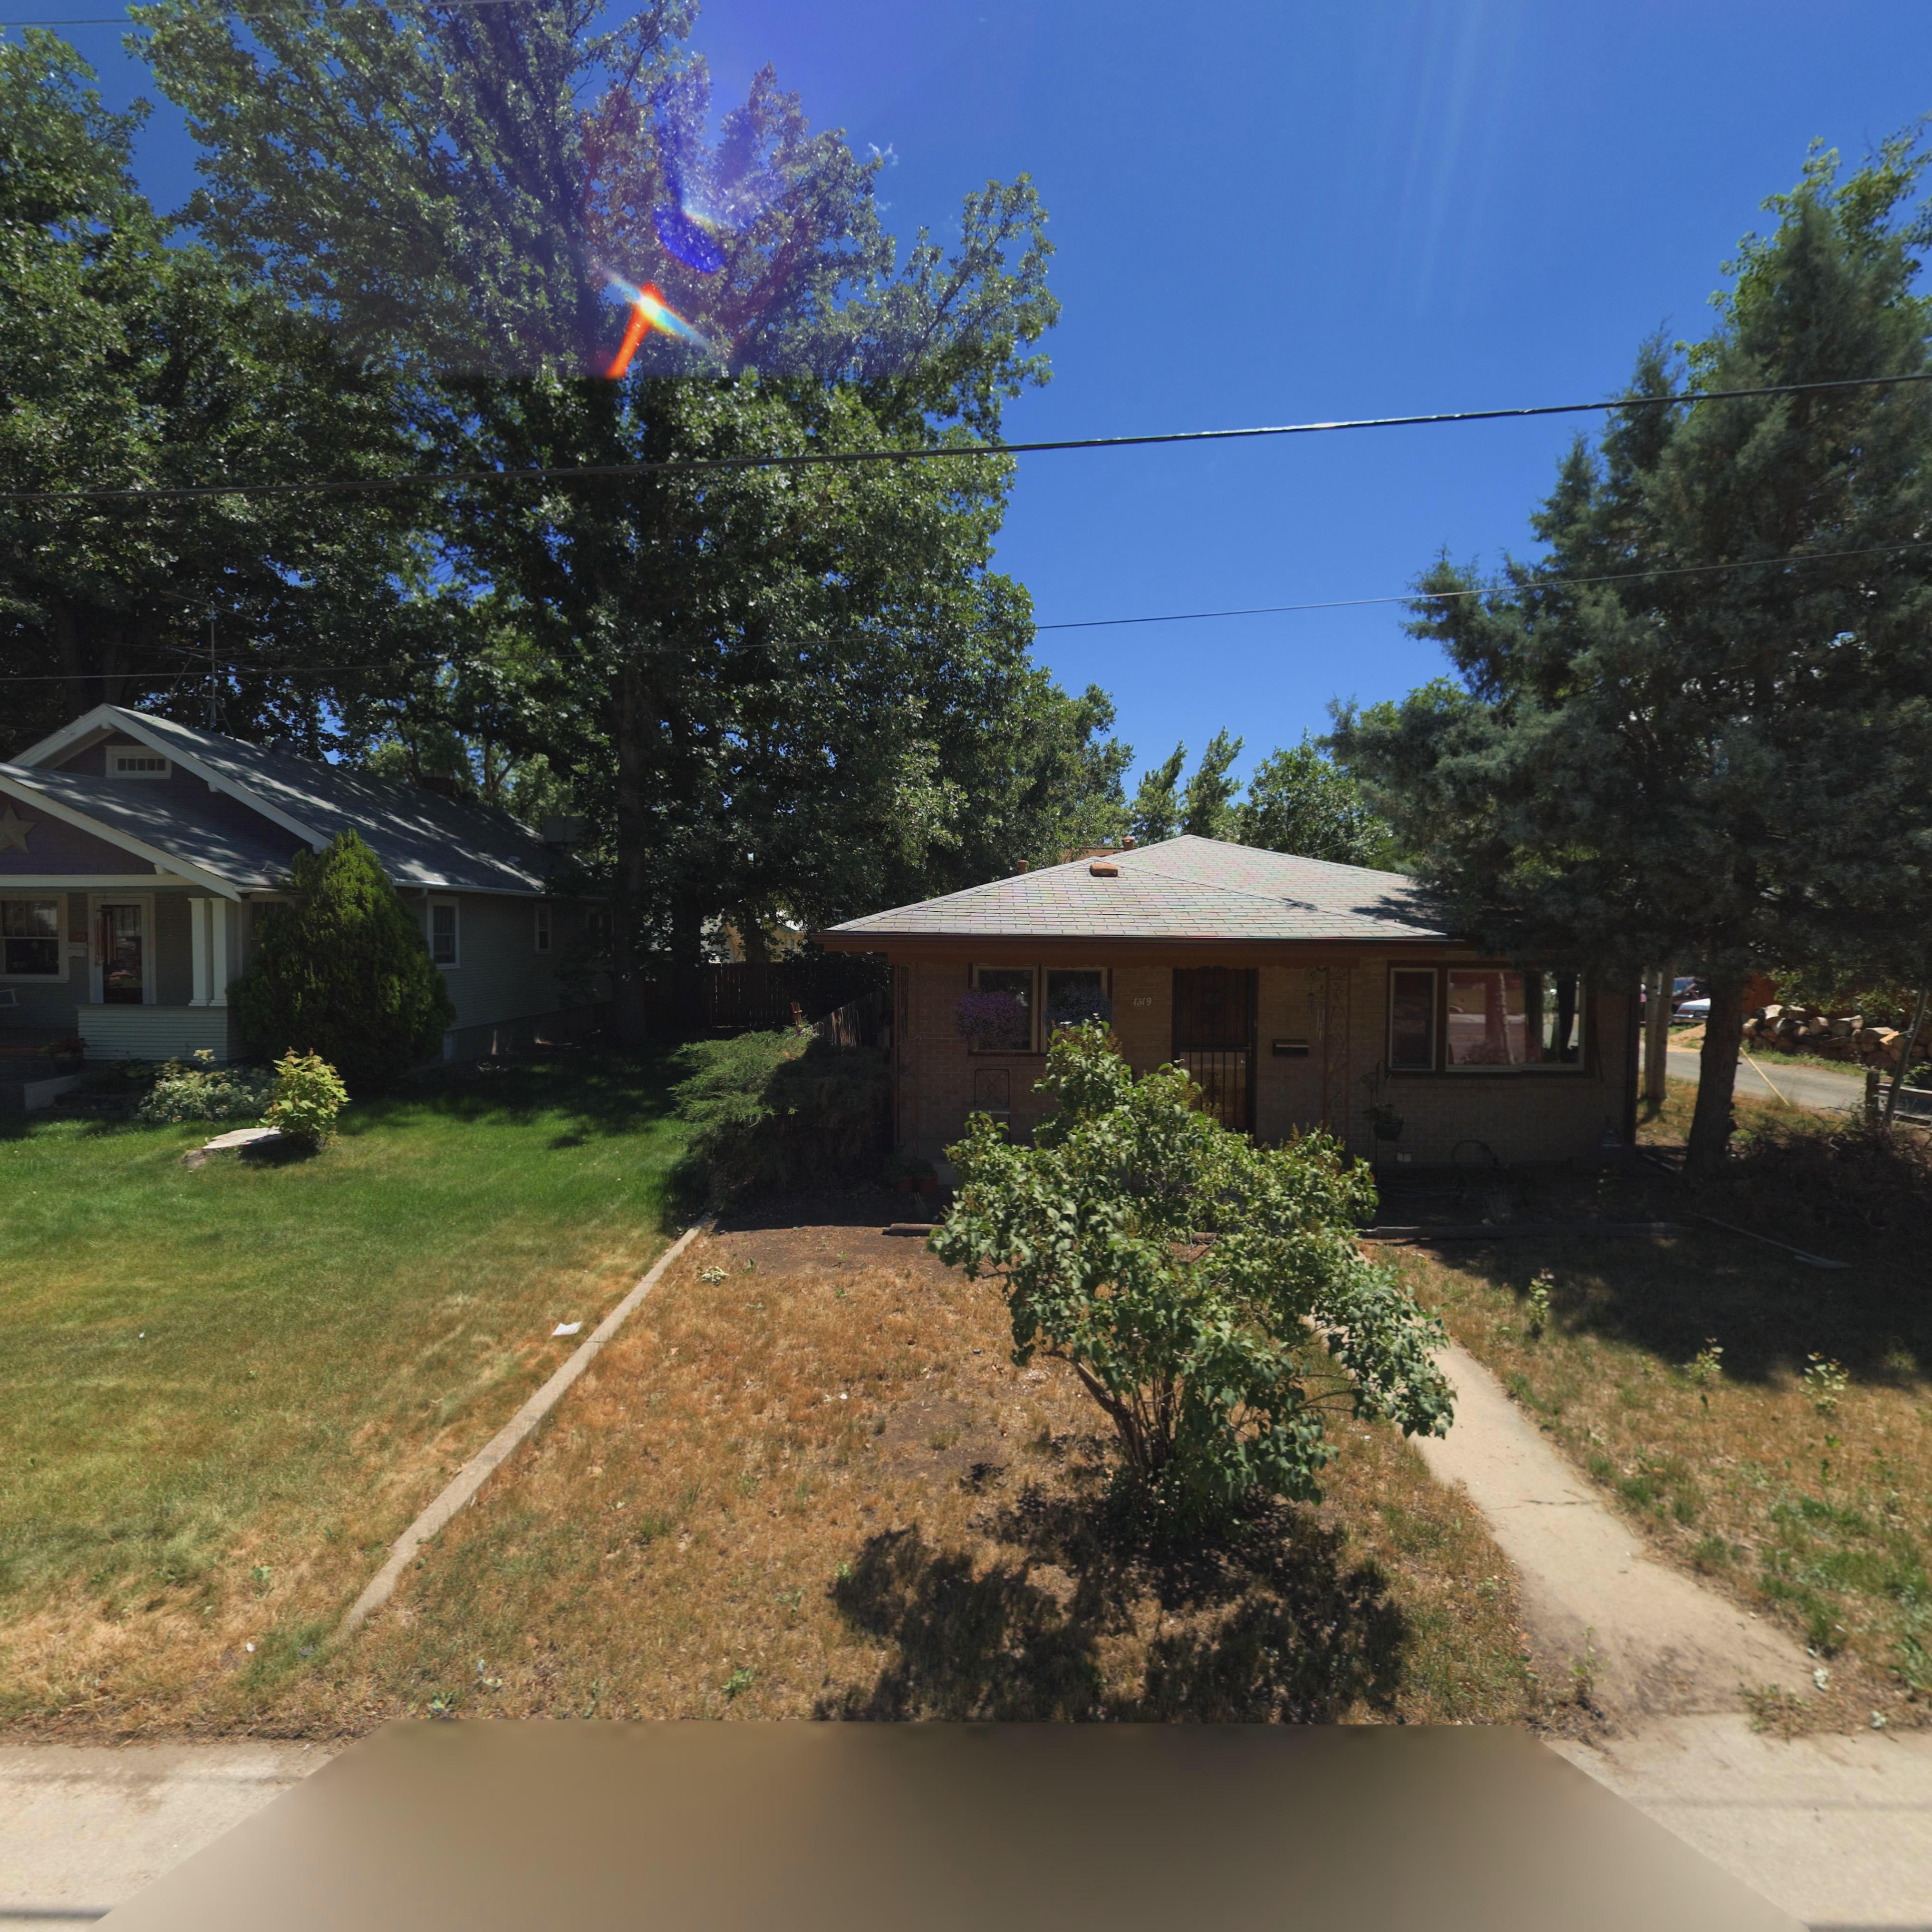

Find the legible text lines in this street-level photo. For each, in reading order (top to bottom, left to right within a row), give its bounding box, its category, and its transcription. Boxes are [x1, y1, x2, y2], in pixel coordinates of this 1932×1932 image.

[1132, 997, 1152, 1007] StreetNumber: 1319